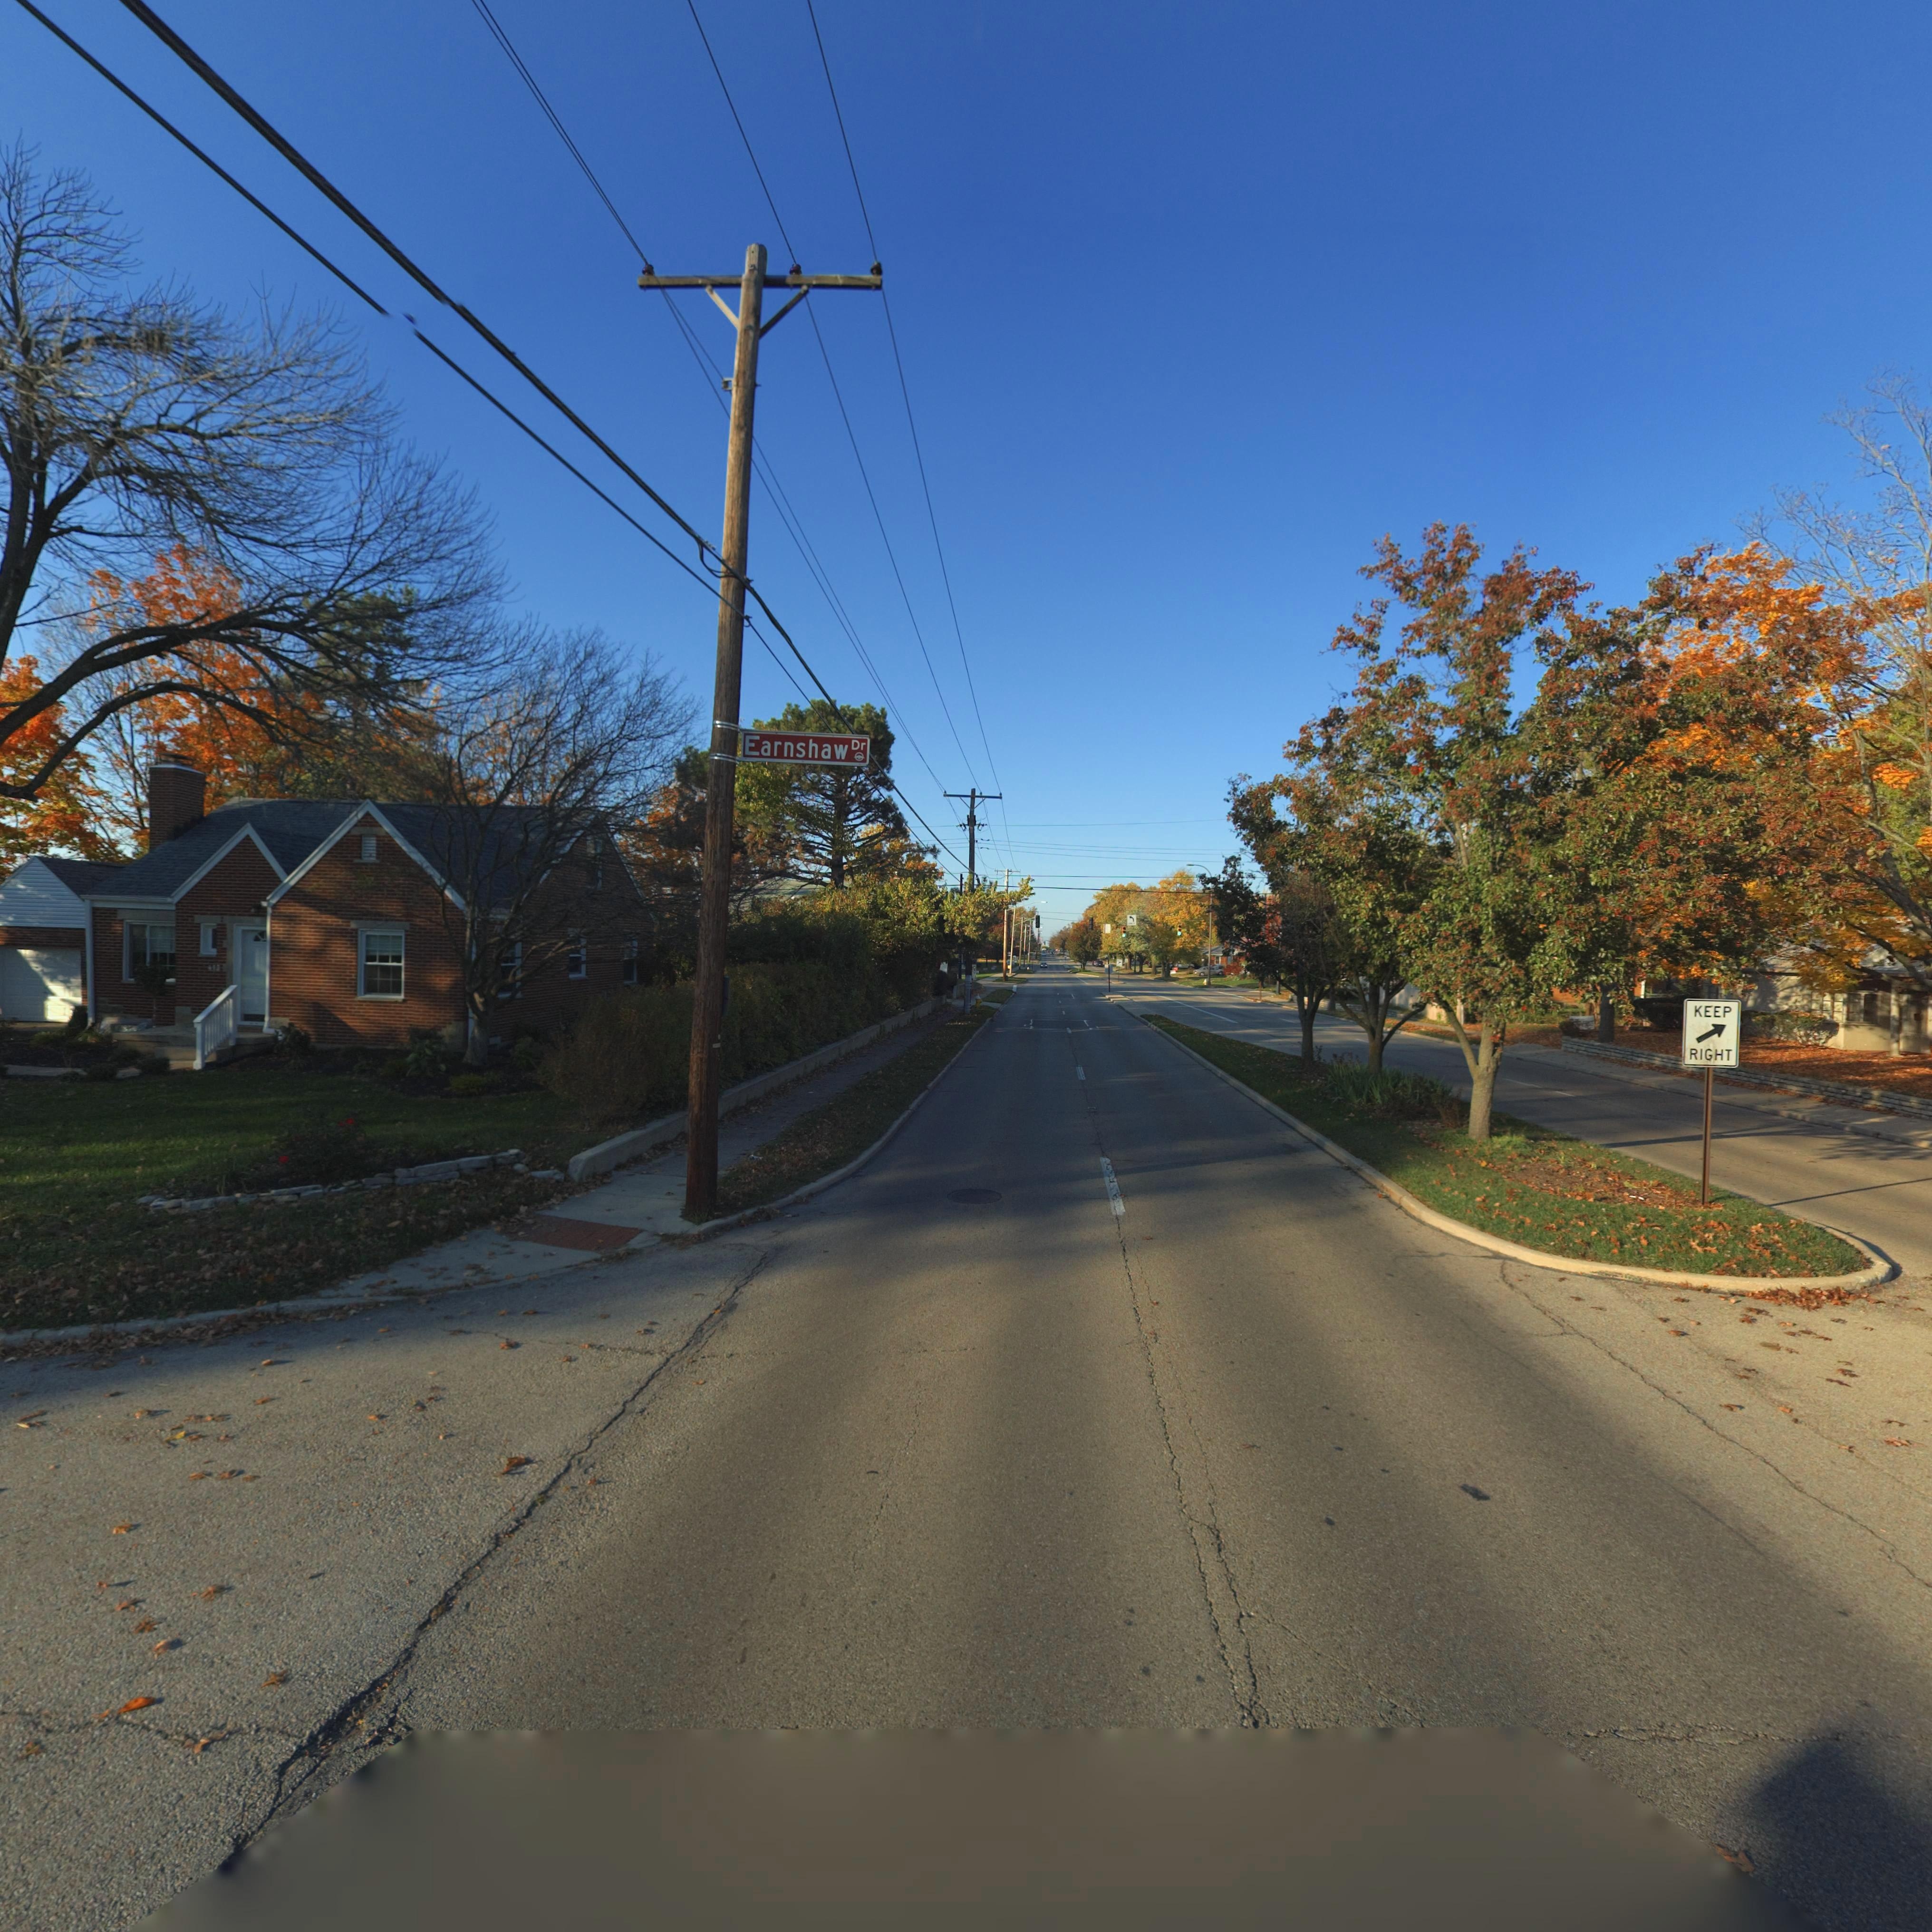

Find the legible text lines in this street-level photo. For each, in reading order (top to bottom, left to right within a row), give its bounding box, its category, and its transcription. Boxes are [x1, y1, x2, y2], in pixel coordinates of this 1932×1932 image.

[743, 734, 867, 761] StreetName: Earnshaw Dr
[207, 964, 221, 972] StreetNumber: 415